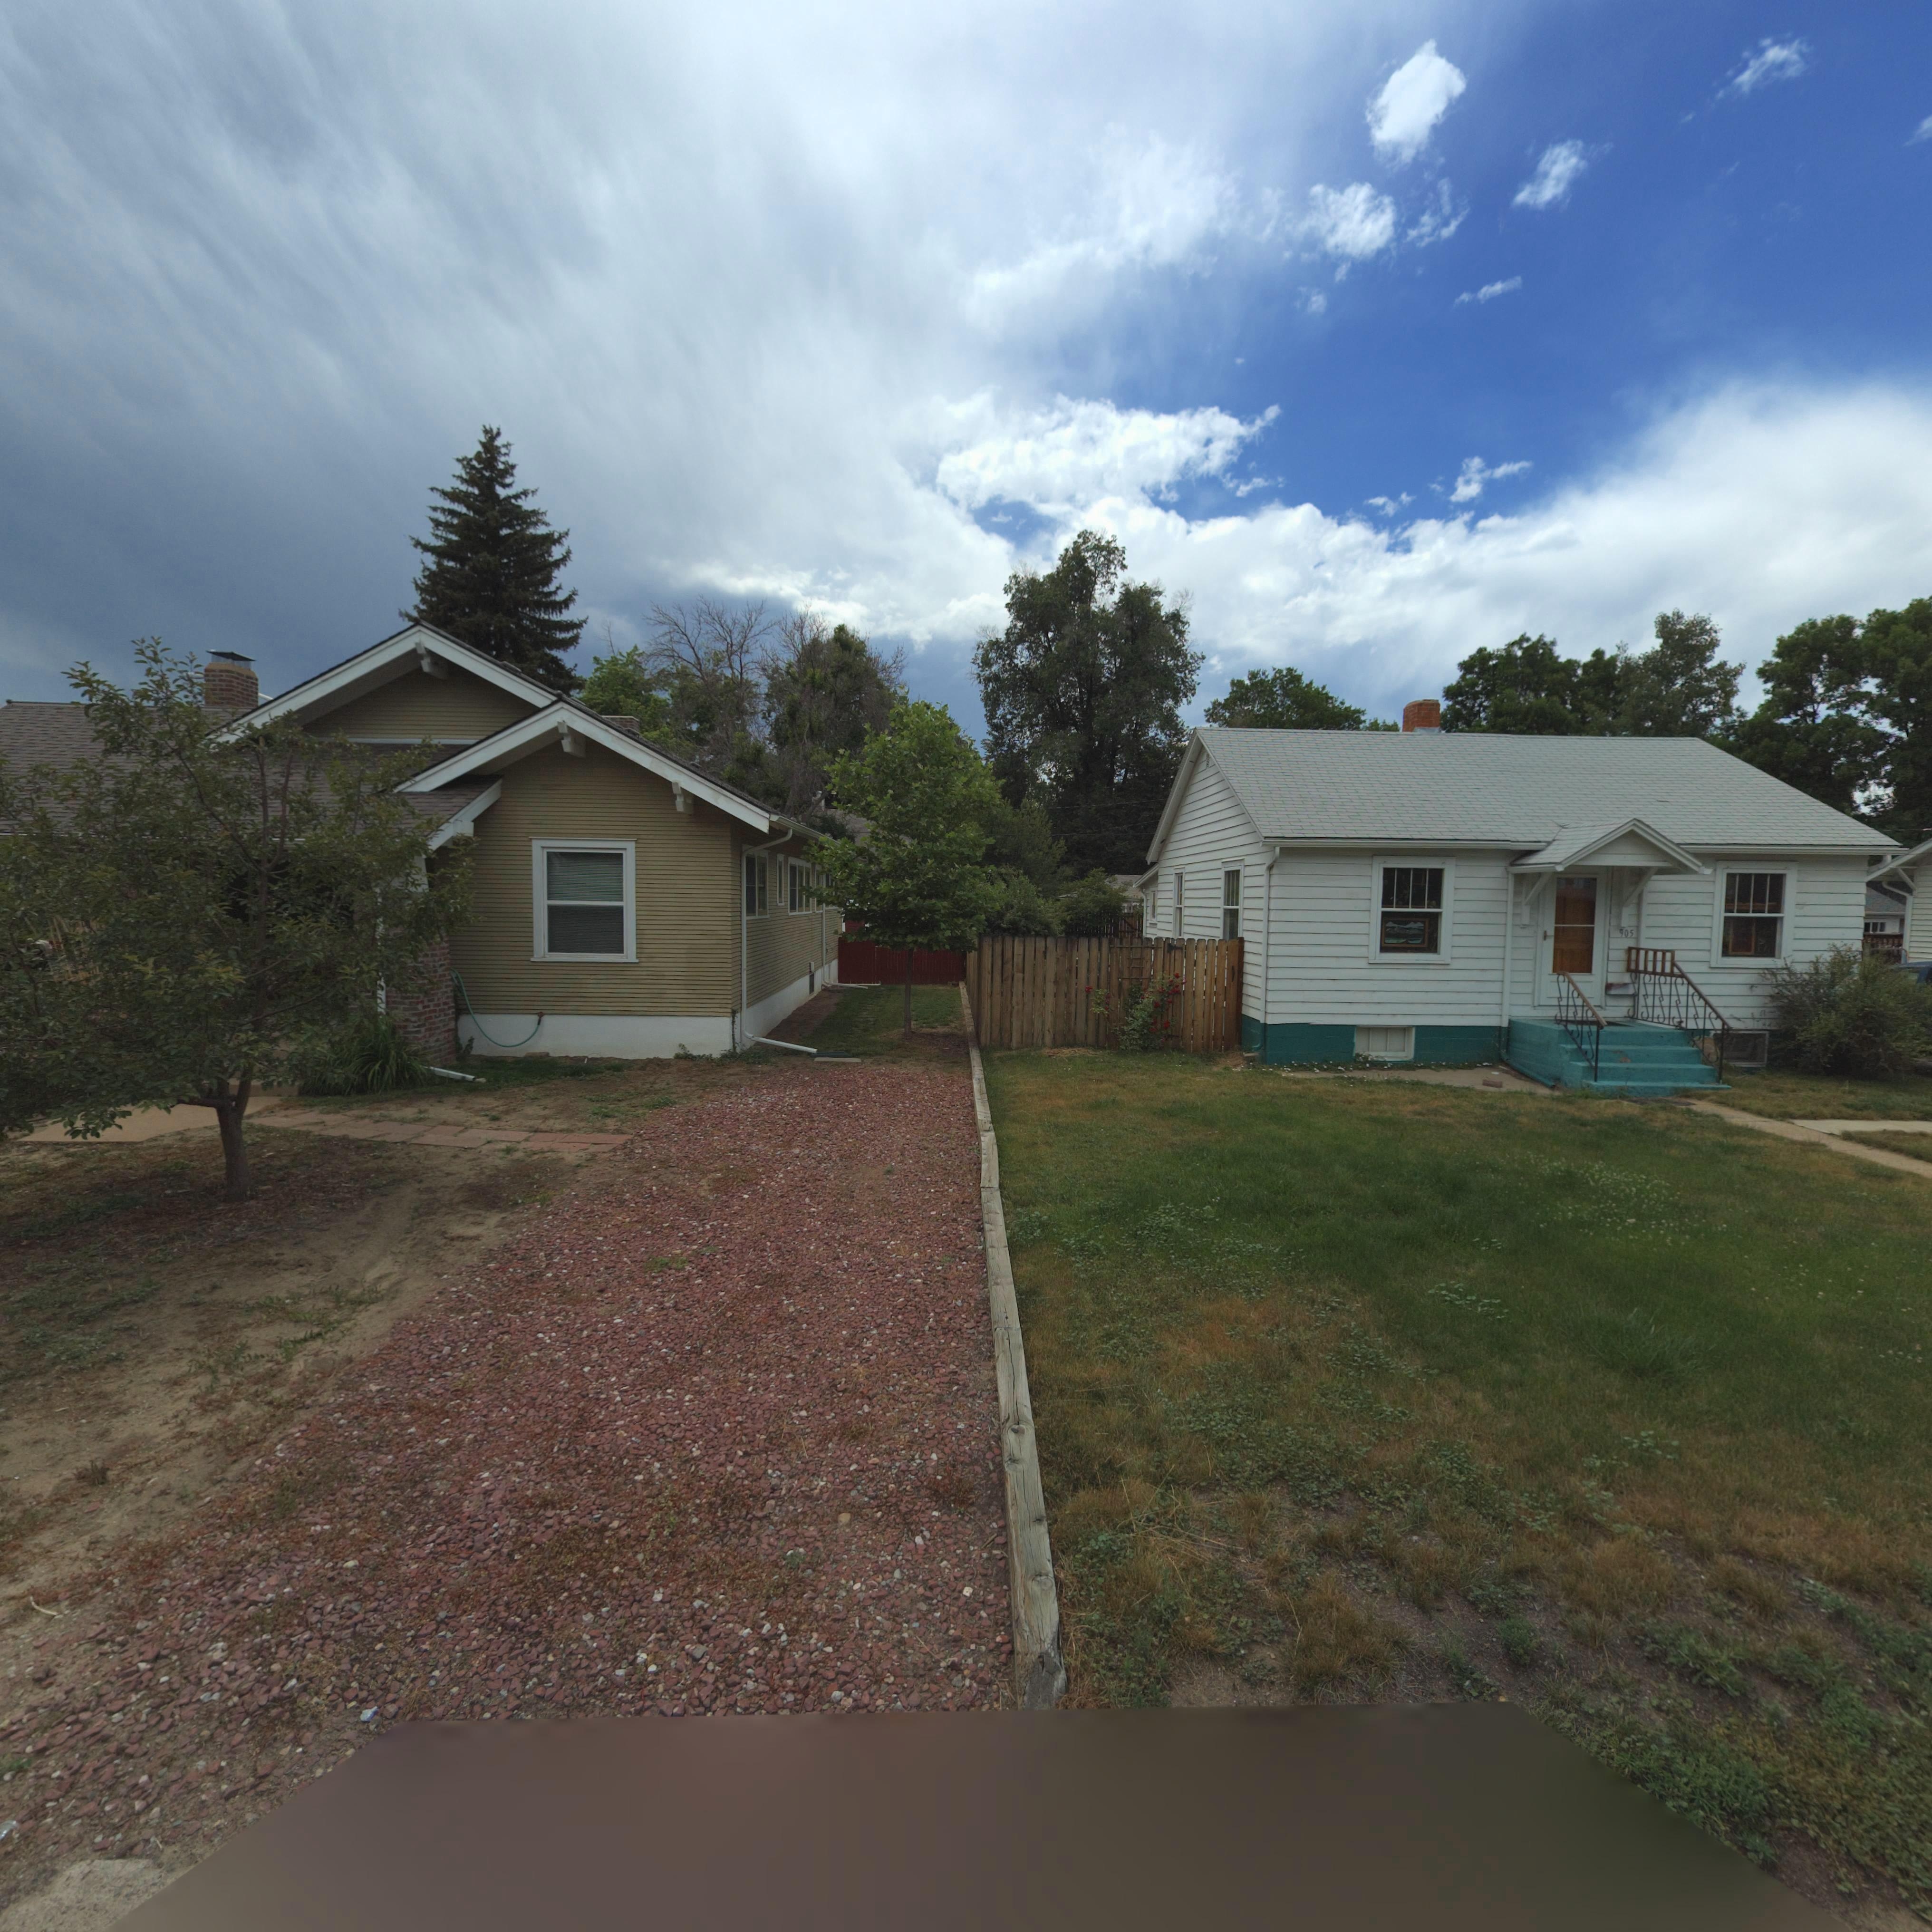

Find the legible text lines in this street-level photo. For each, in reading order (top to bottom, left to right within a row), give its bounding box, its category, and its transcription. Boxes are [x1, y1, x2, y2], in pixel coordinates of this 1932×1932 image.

[1619, 928, 1633, 938] StreetNumber: 905